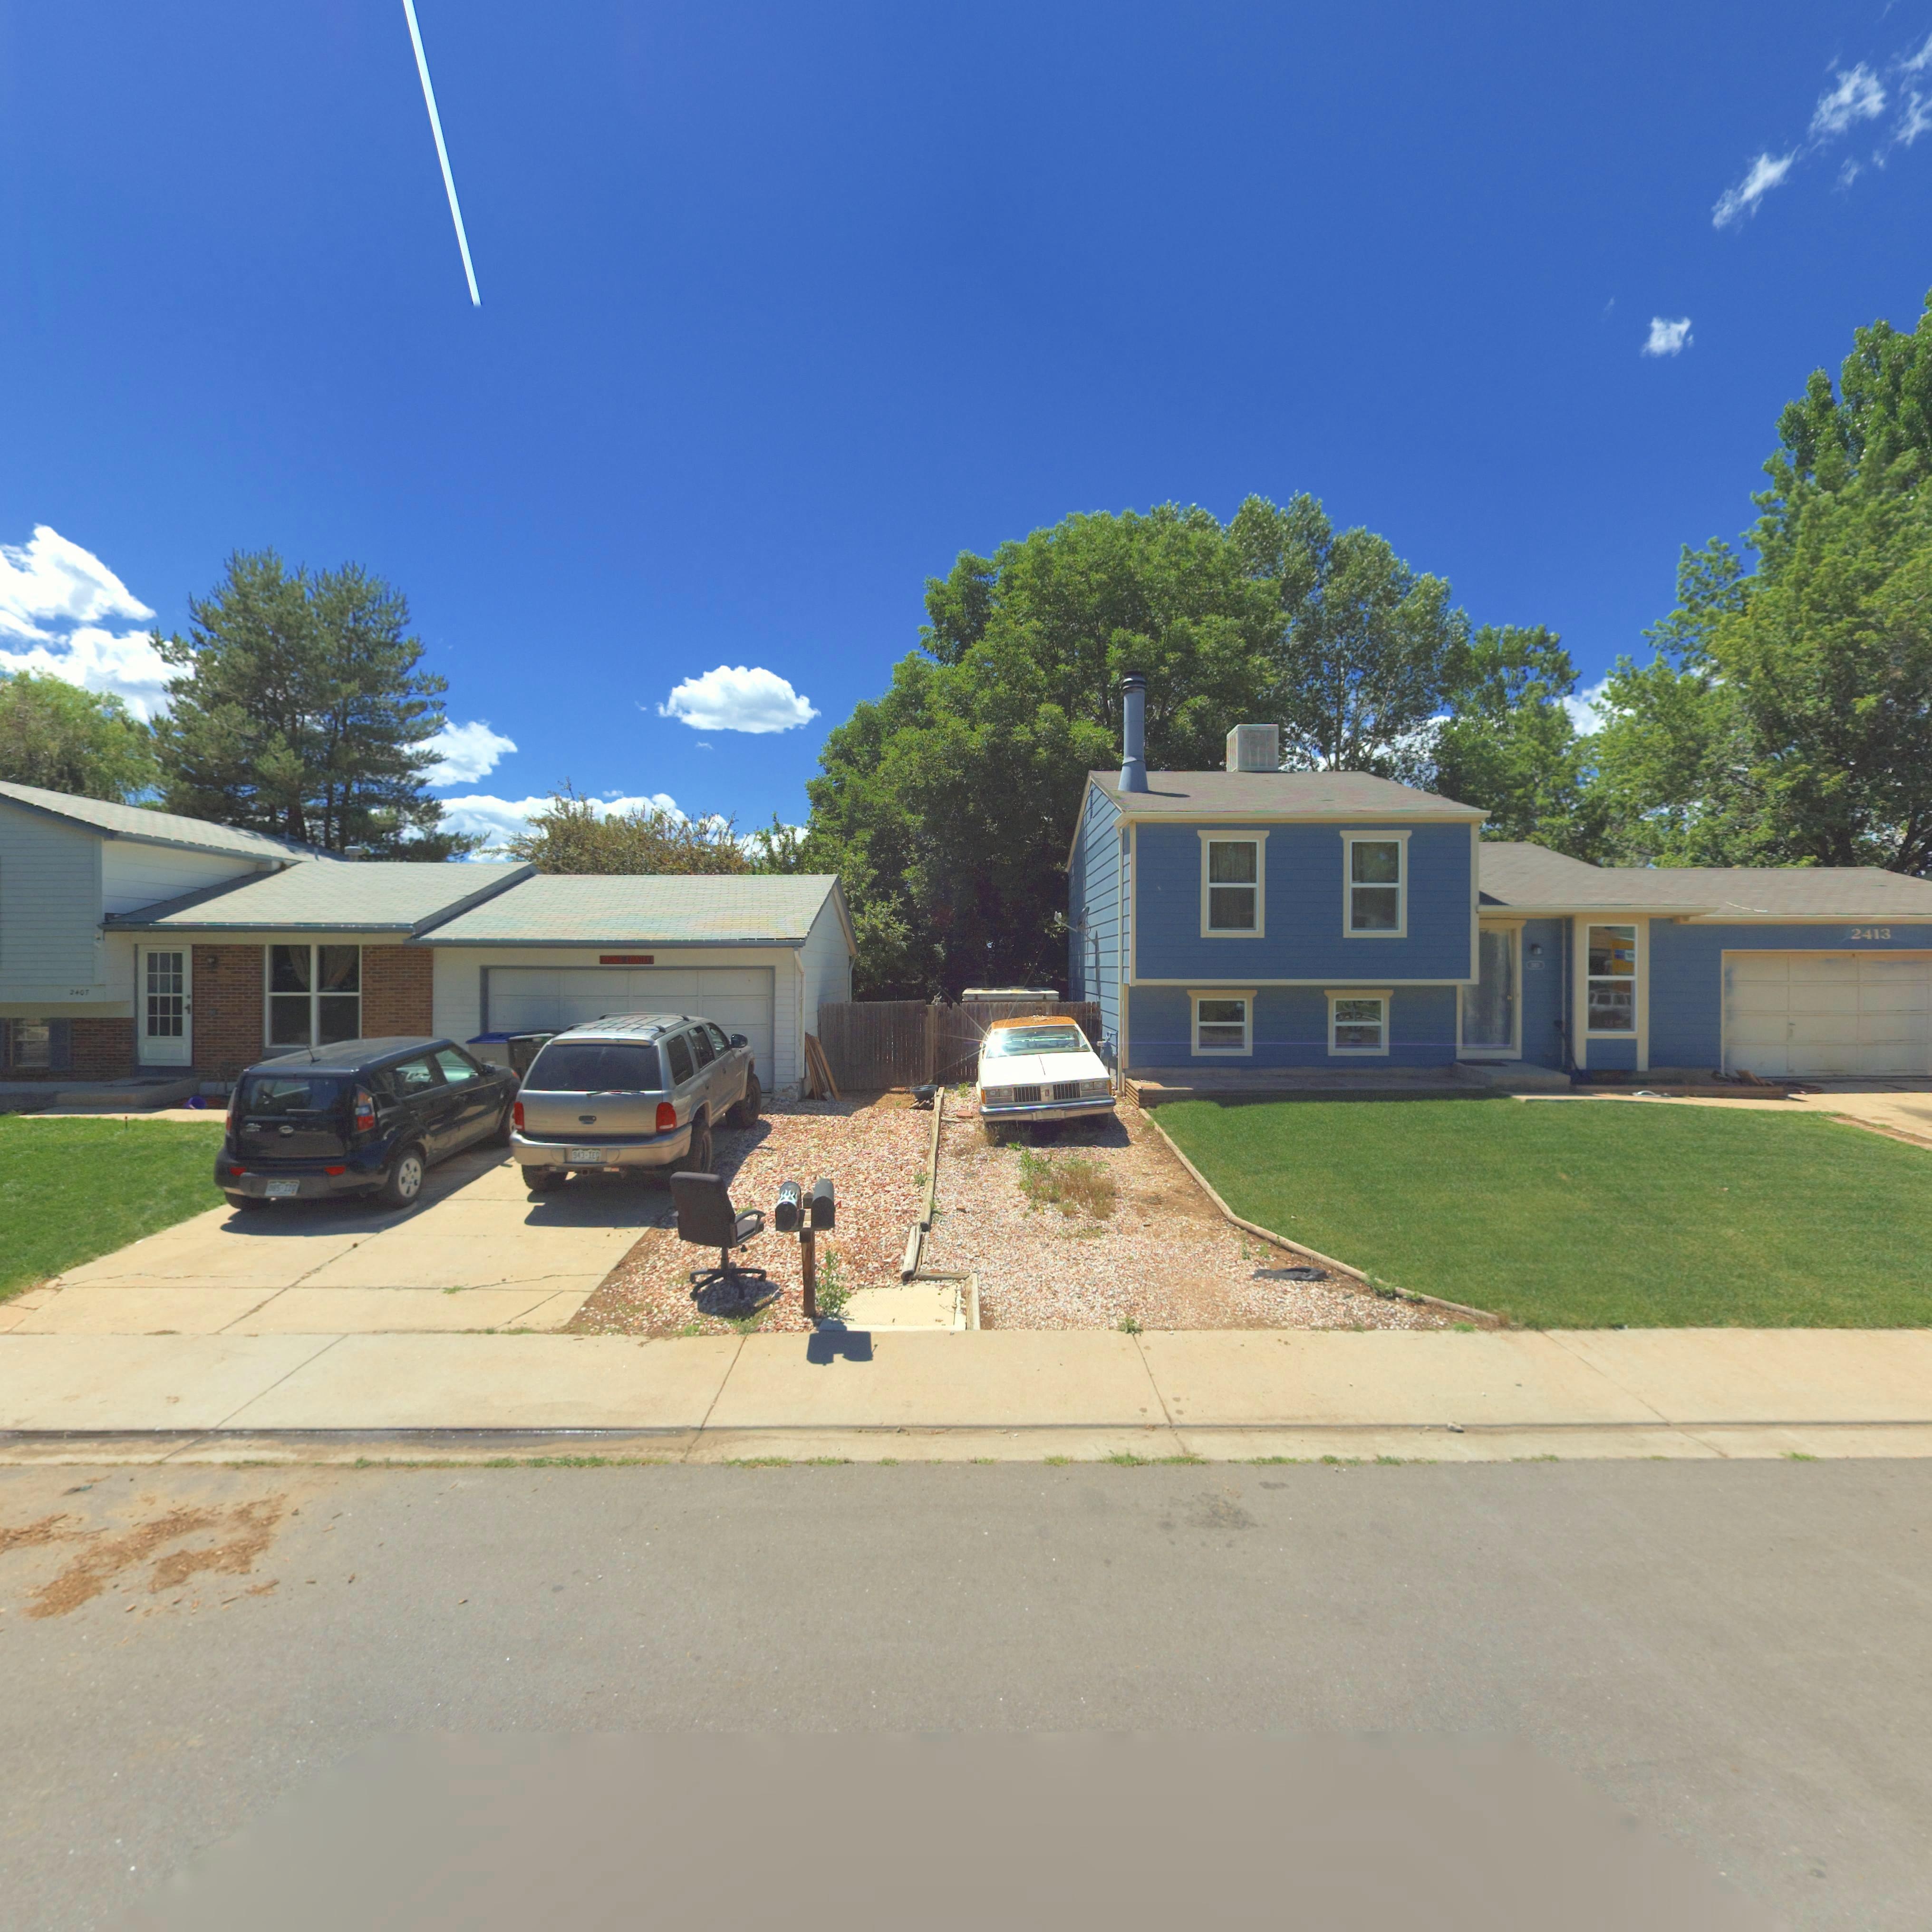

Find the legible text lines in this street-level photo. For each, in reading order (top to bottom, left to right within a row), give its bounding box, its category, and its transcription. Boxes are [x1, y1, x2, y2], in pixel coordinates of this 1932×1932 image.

[1851, 928, 1890, 939] StreetNumber: 2413
[69, 989, 89, 995] StreetNumber: 2407